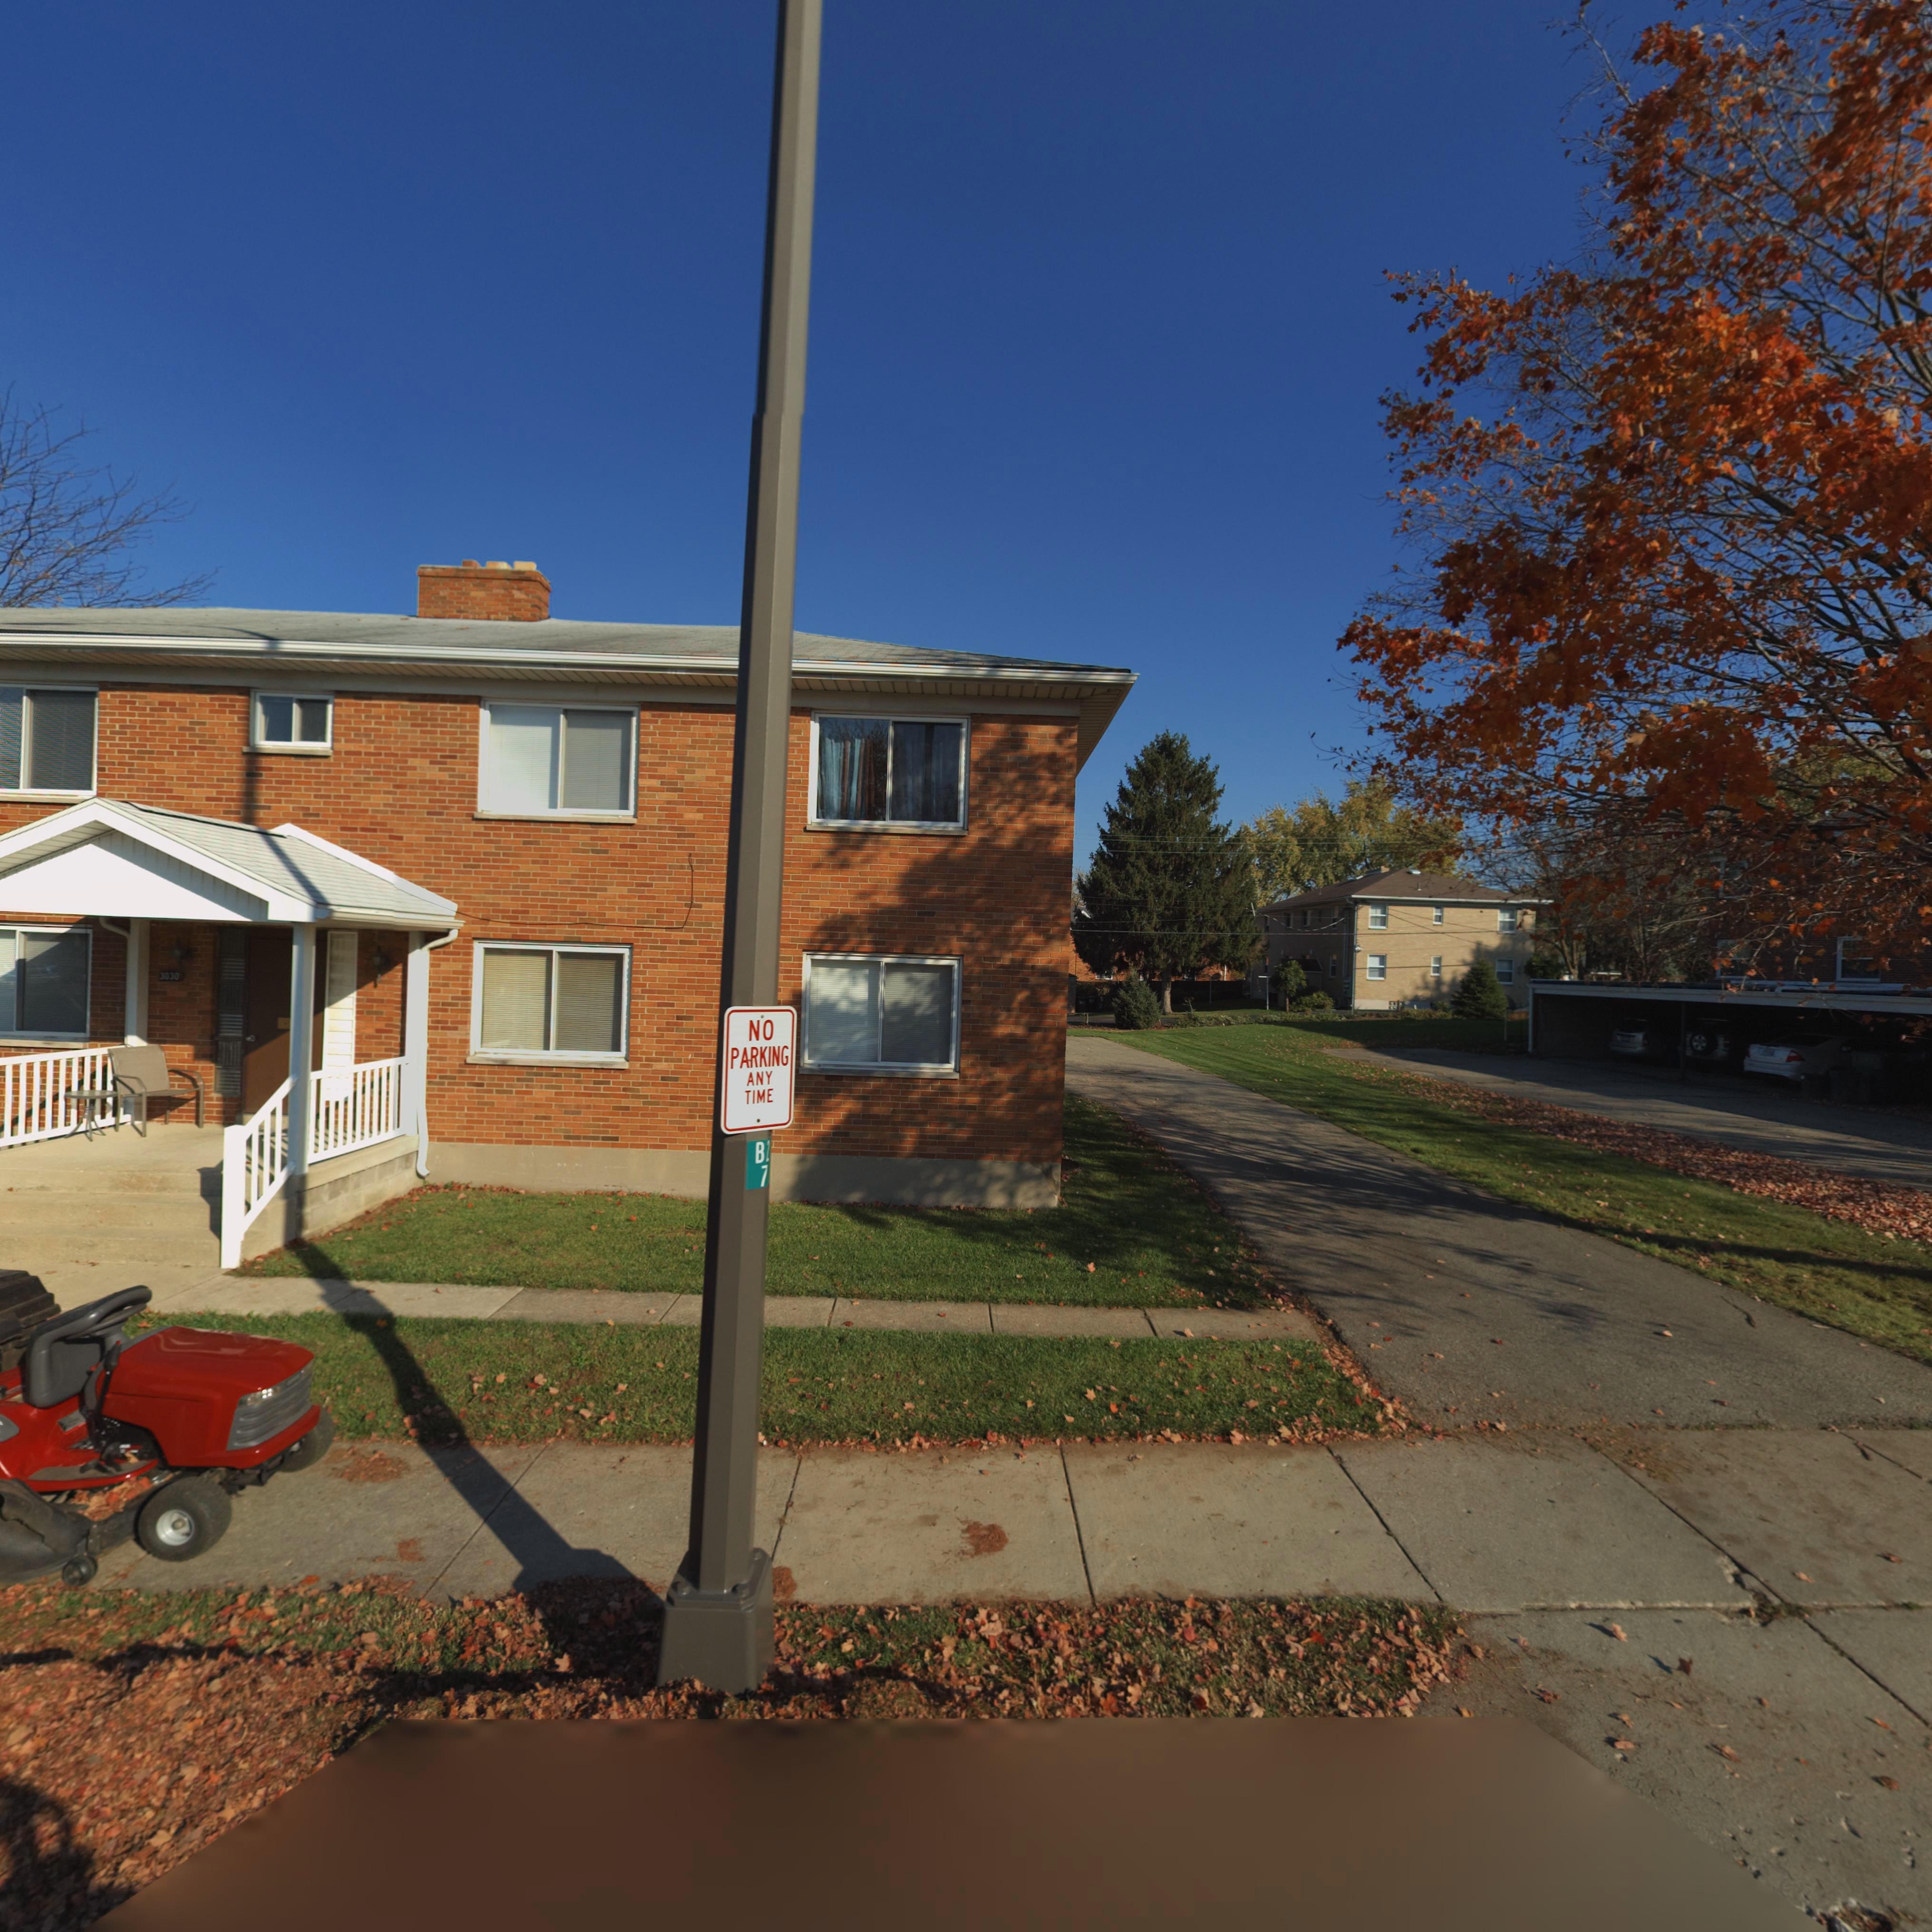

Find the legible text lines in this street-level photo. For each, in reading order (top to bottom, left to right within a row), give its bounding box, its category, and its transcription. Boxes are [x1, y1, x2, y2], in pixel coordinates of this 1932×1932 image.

[159, 971, 180, 981] StreetNumber: 3030